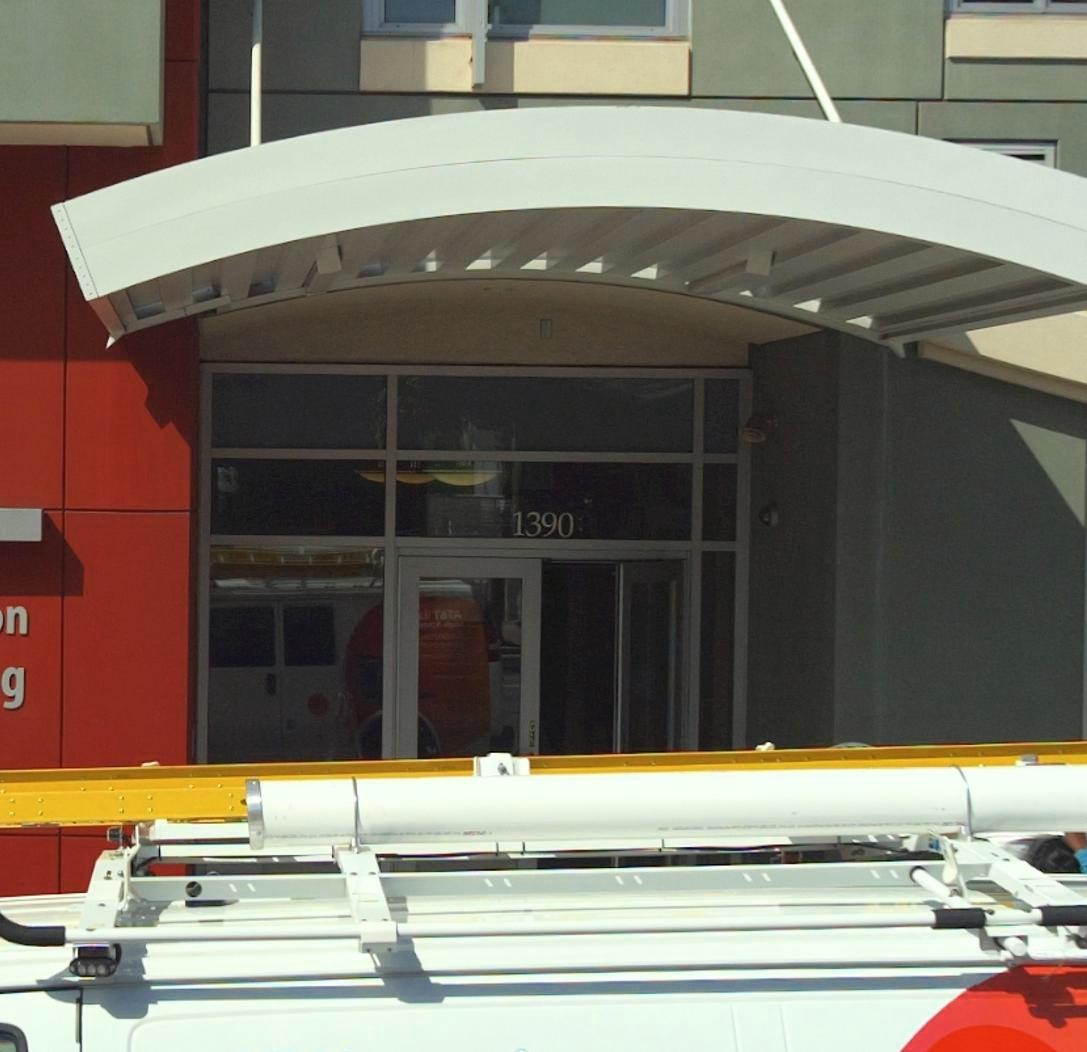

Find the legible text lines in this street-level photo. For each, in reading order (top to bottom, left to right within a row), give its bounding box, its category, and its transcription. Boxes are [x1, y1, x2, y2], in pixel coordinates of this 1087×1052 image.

[509, 508, 579, 541] StreetNumber: 1390
[3, 599, 32, 643] None: n
[432, 607, 466, 622] None: T&TA
[0, 662, 28, 716] None: g